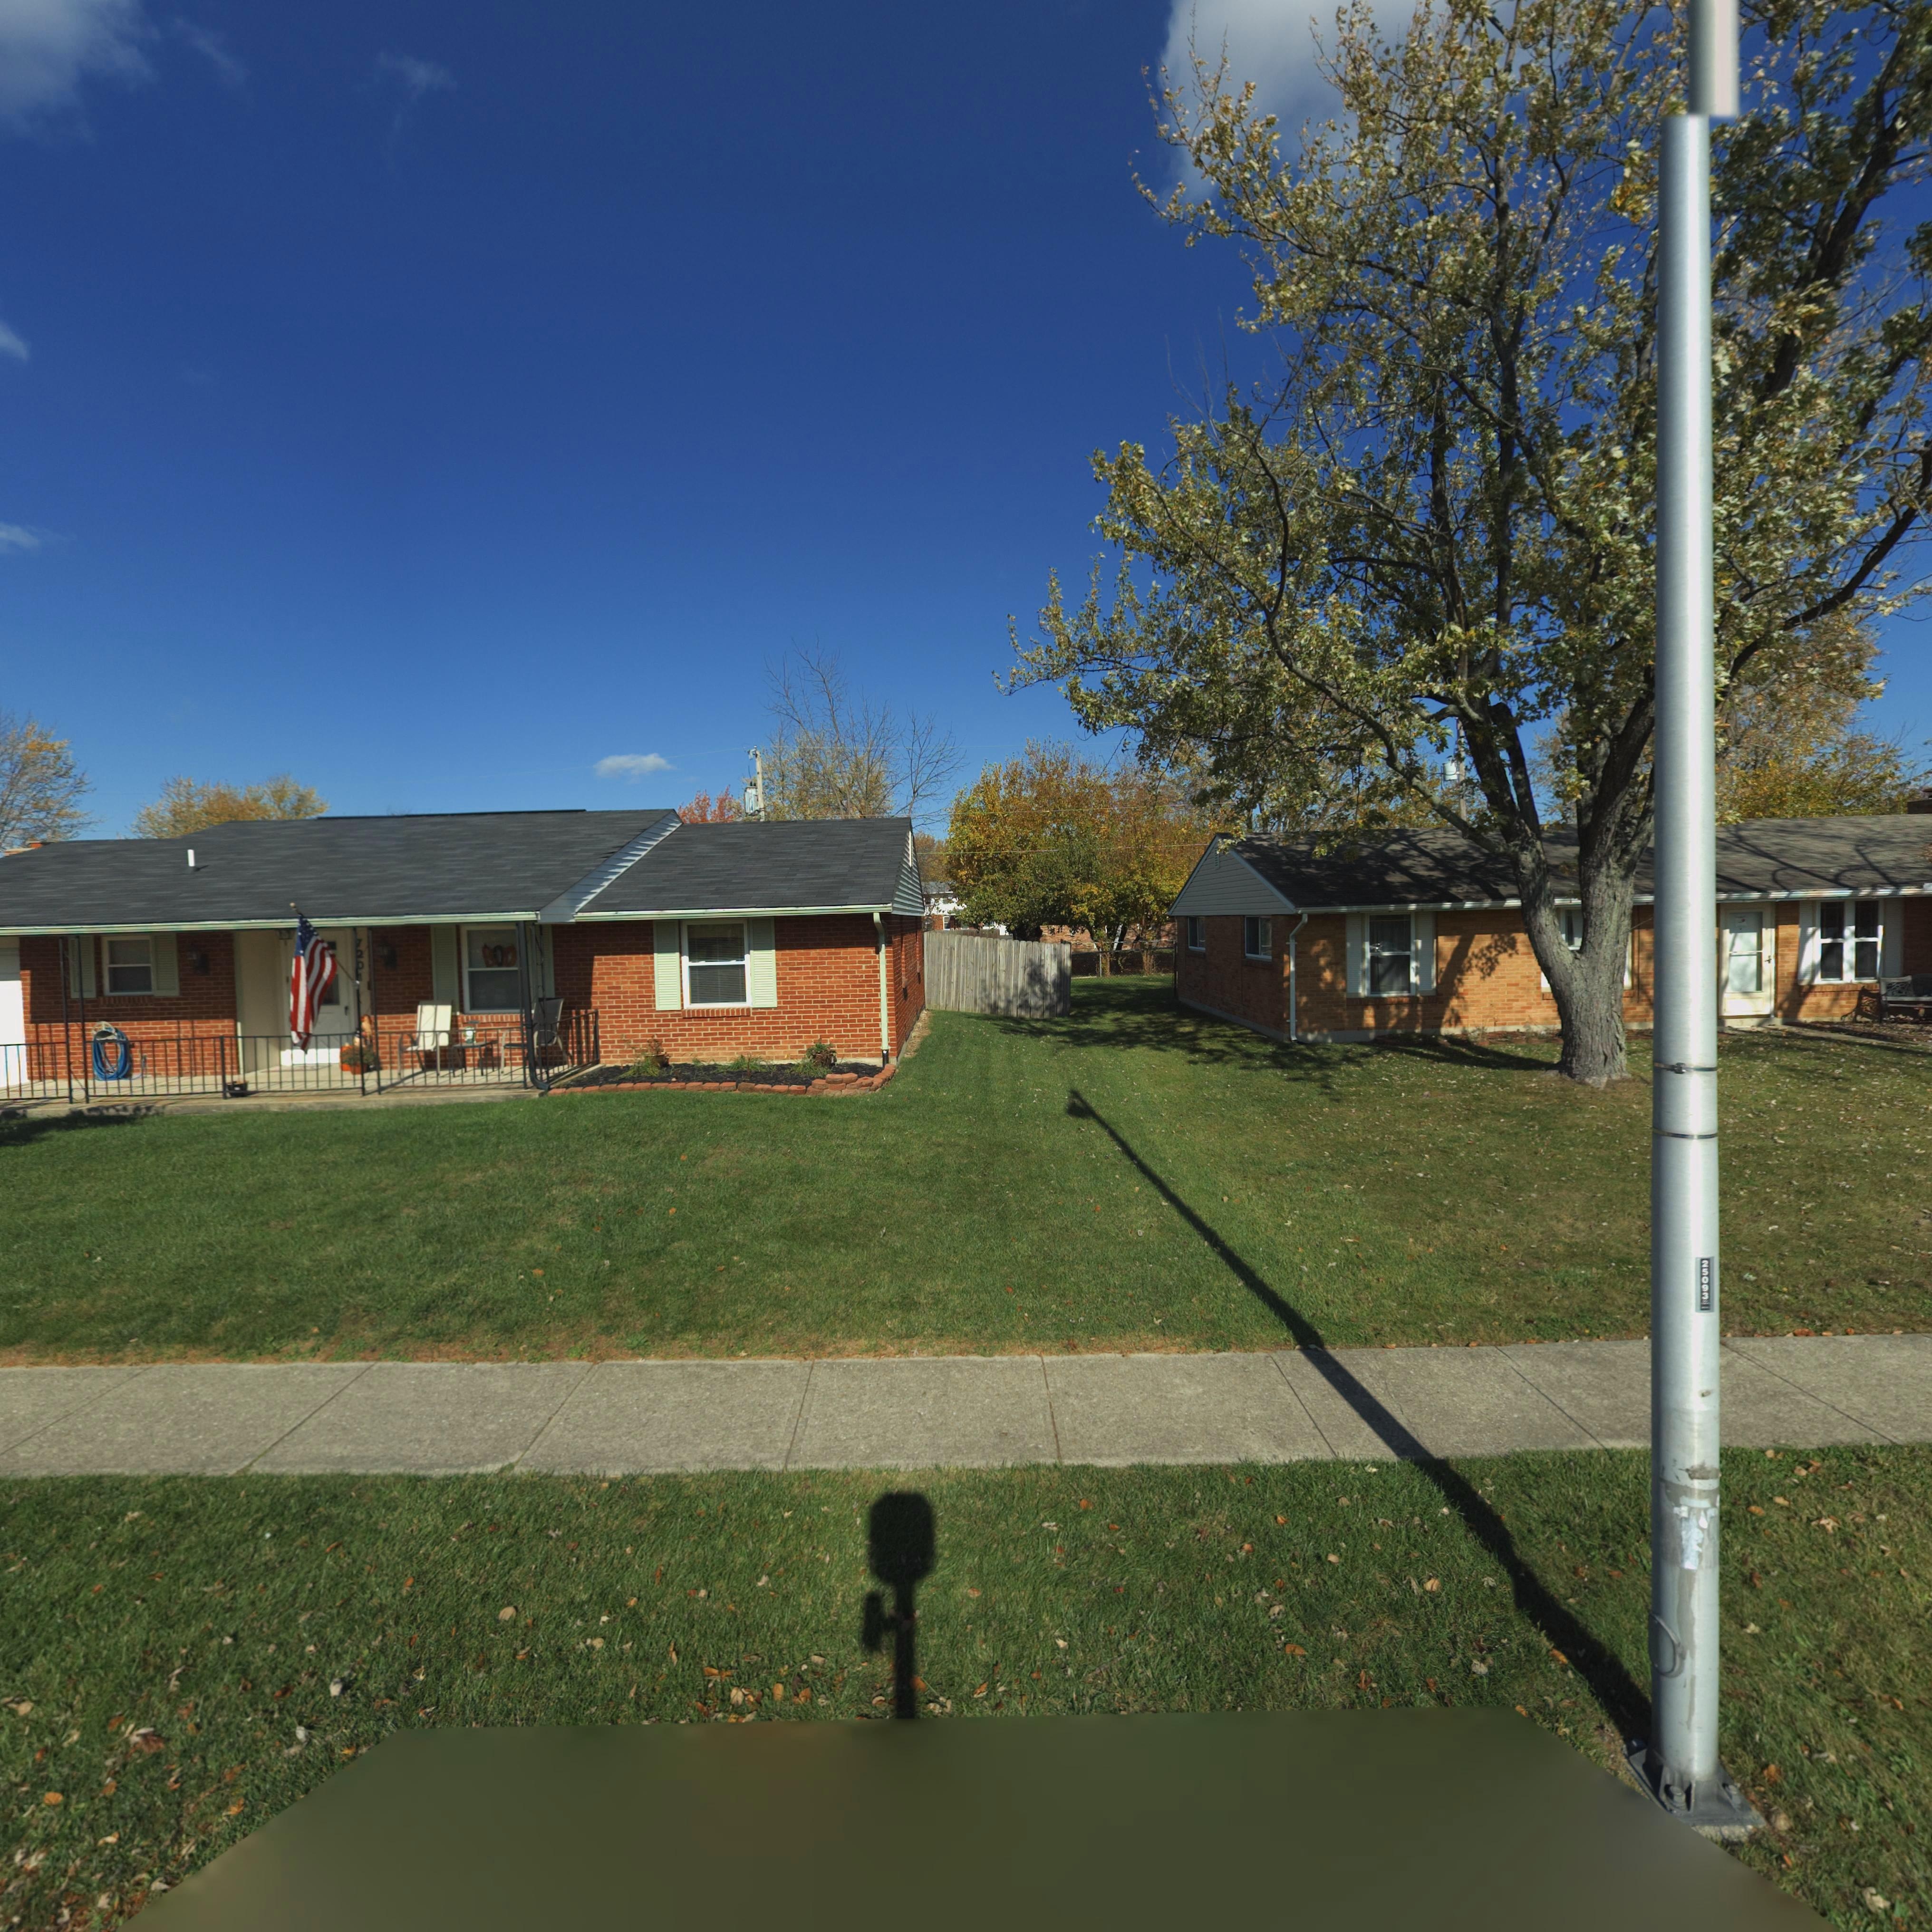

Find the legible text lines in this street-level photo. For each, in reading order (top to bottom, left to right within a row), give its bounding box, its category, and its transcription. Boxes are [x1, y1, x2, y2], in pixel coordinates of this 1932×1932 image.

[354, 937, 366, 983] StreetNumber: 720*